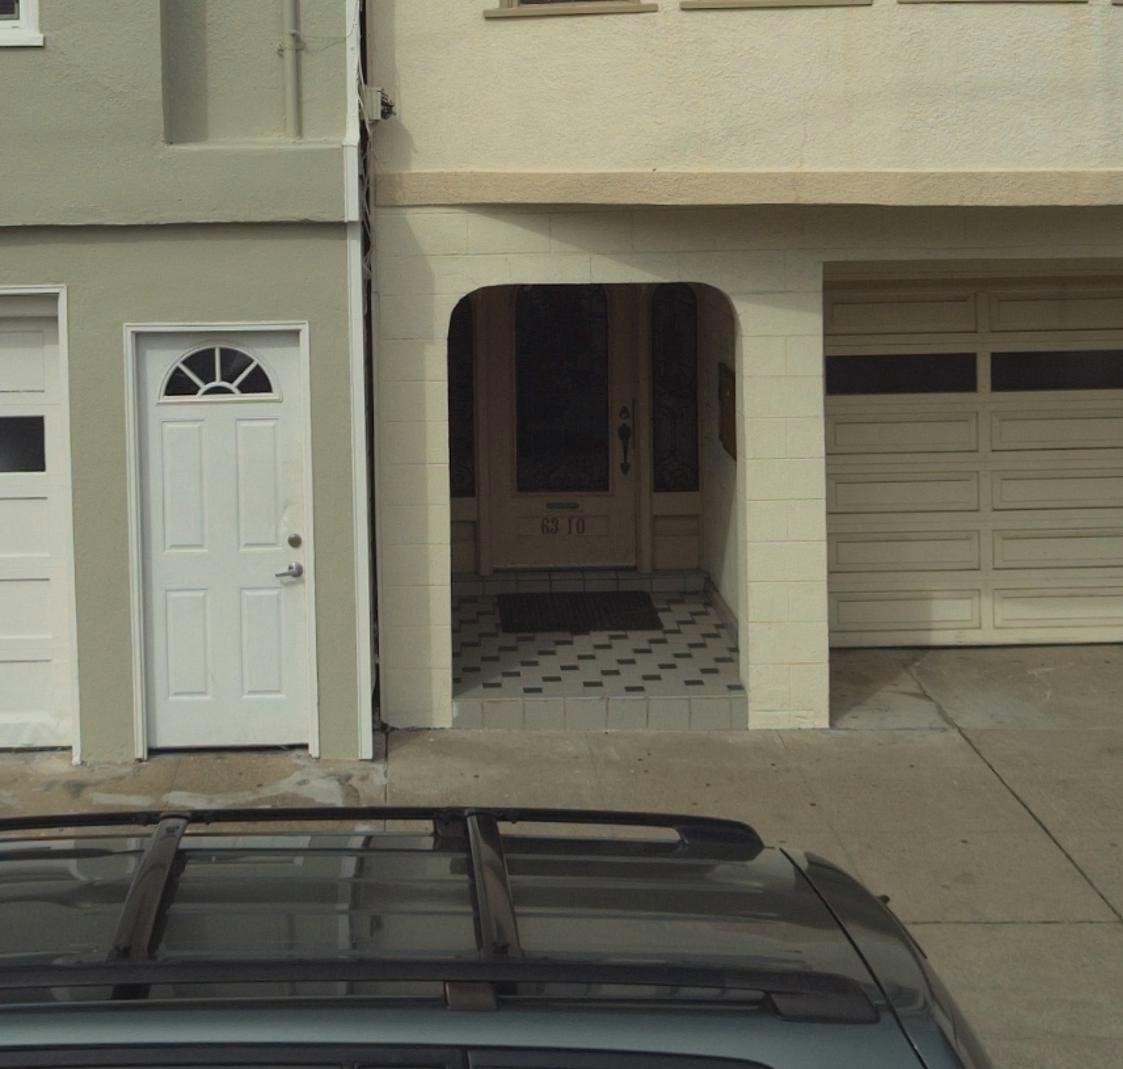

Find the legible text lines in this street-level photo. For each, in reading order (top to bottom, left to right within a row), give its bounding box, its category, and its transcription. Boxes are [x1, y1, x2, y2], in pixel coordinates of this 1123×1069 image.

[539, 517, 586, 535] StreetNumber: 6310